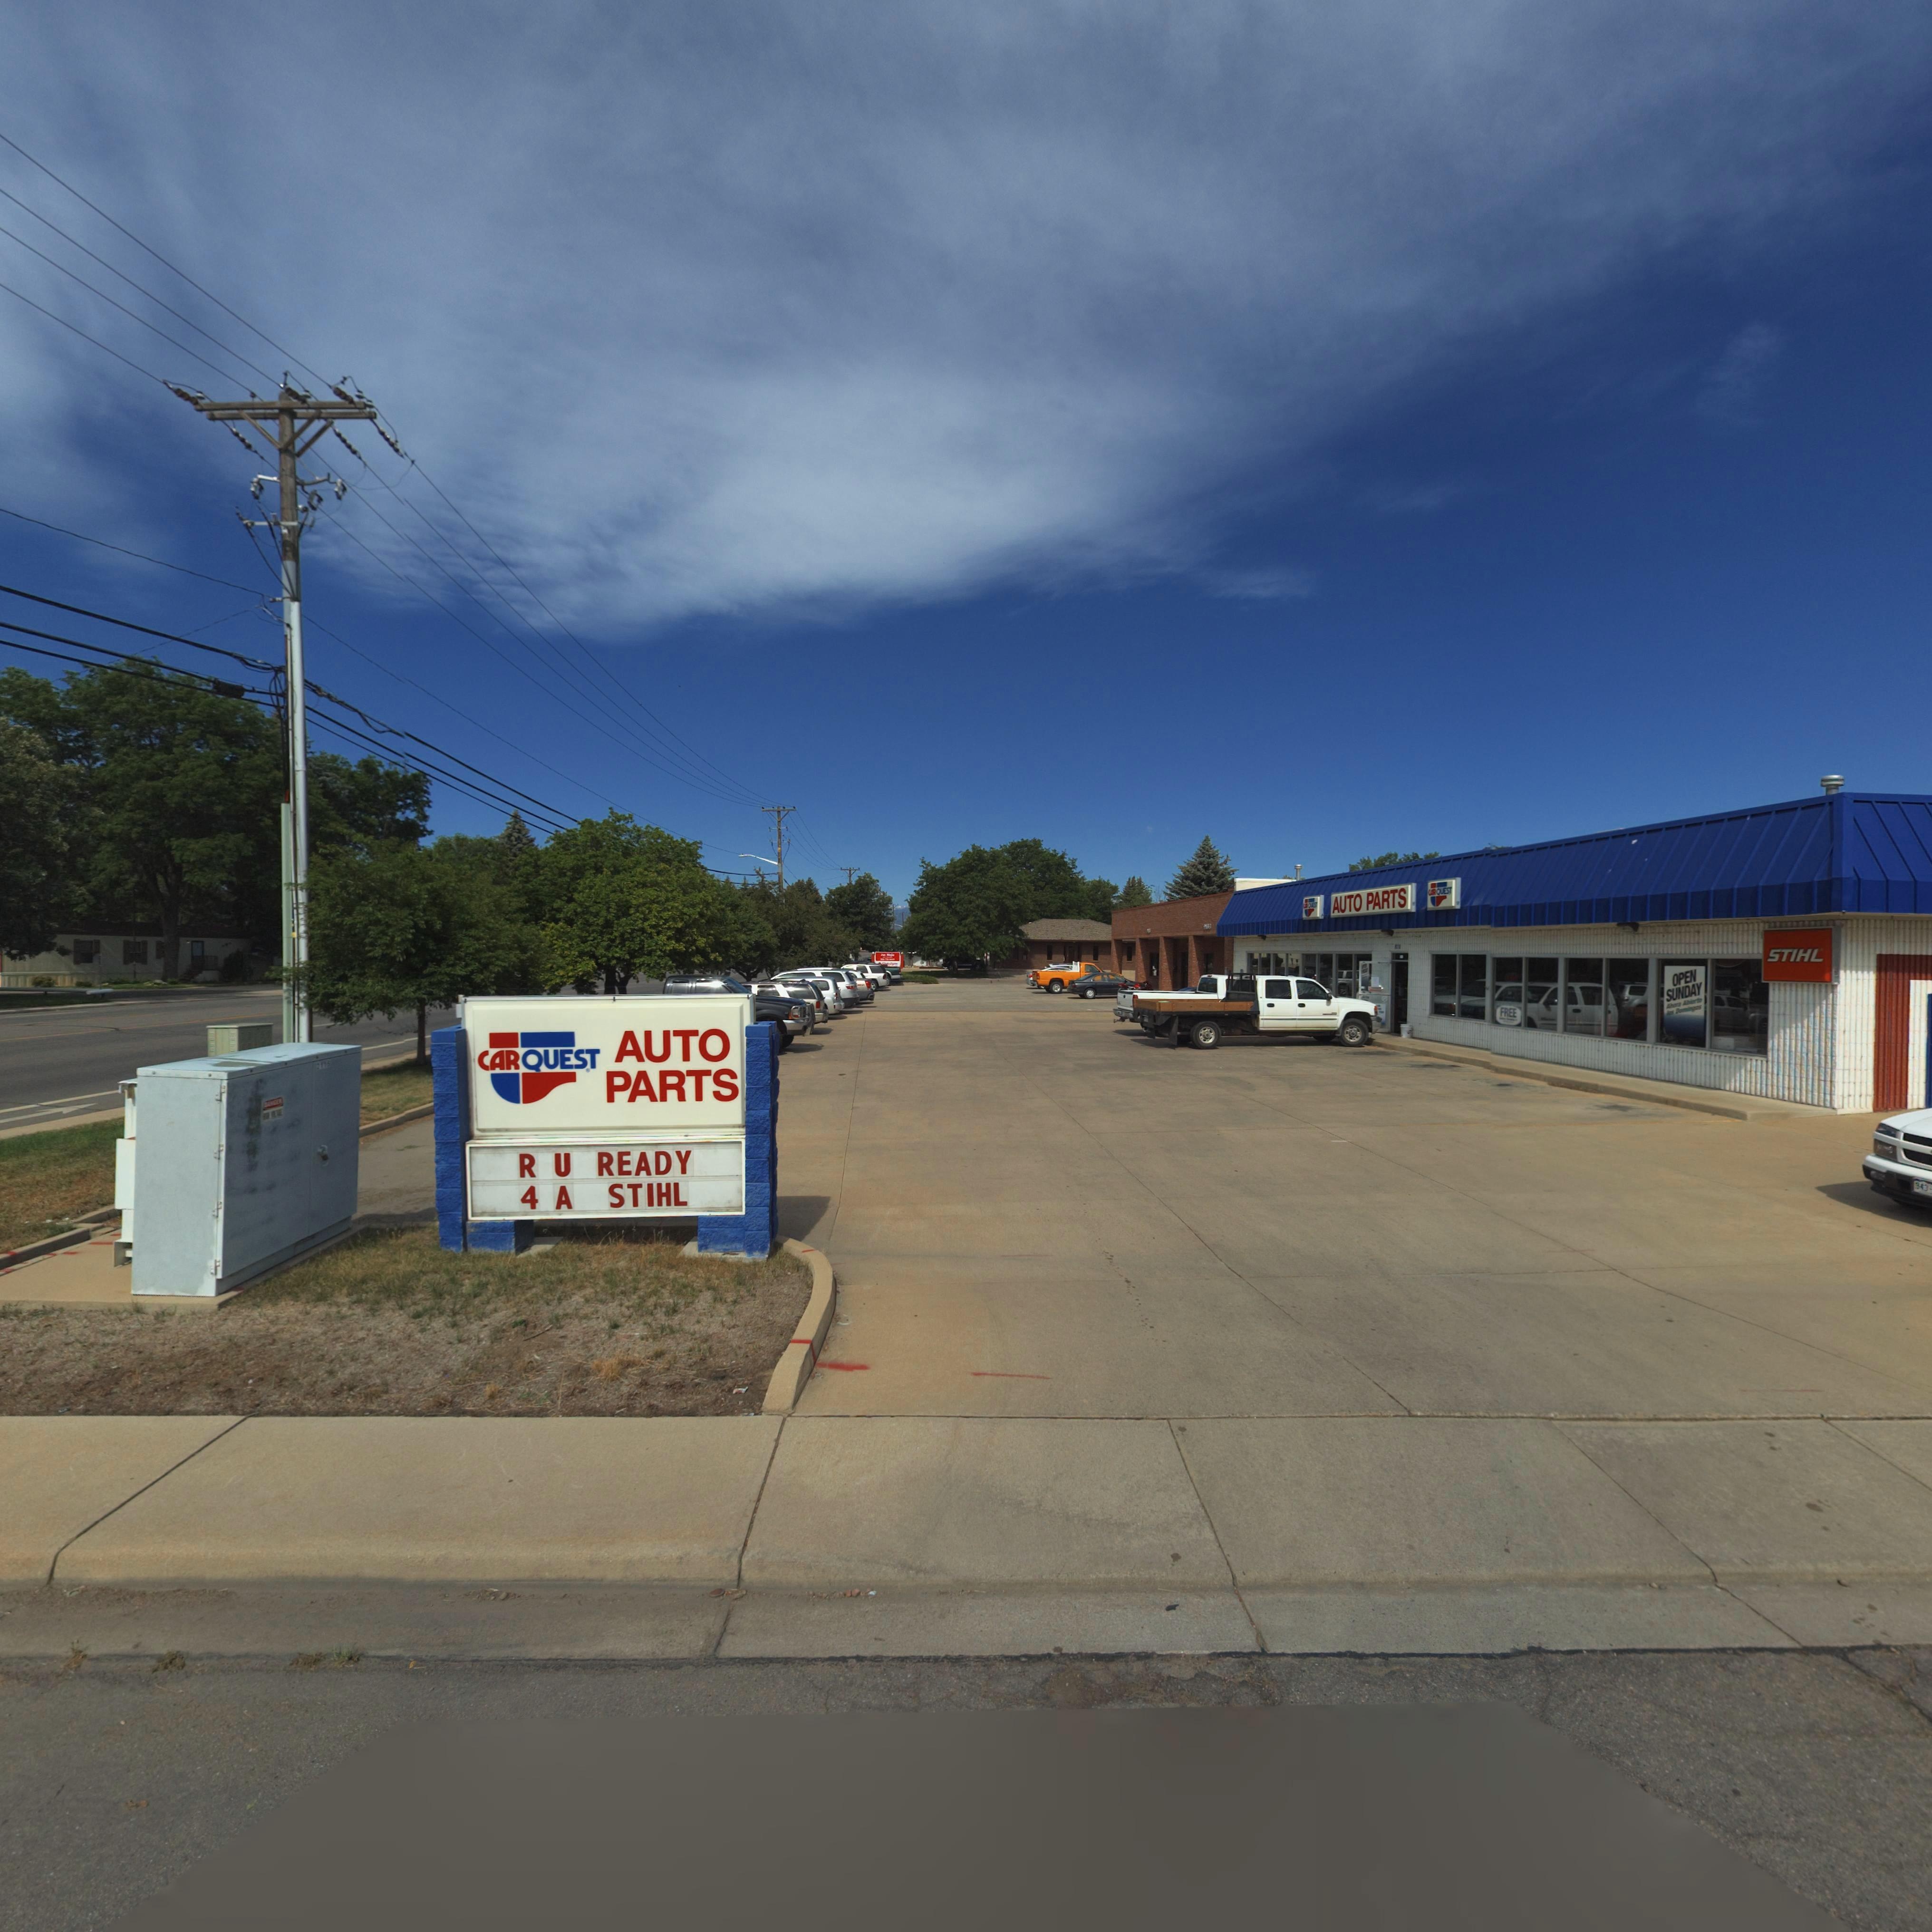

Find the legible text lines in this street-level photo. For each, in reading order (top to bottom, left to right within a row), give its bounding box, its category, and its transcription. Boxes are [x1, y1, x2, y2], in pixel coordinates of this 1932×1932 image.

[1303, 901, 1318, 908] BusinessName: C** QUEST
[1332, 887, 1407, 914] BusinessName: AUTO PARTS
[1427, 886, 1452, 896] BusinessName: CAR QUEST
[1203, 923, 1211, 930] StreetNumber: 9***
[882, 962, 898, 966] BusinessName: ***** Fa**
[612, 1027, 731, 1064] BusinessName: AUTO
[476, 1047, 601, 1073] BusinessName: CAR QUEST
[605, 1067, 740, 1104] BusinessName: PARTS